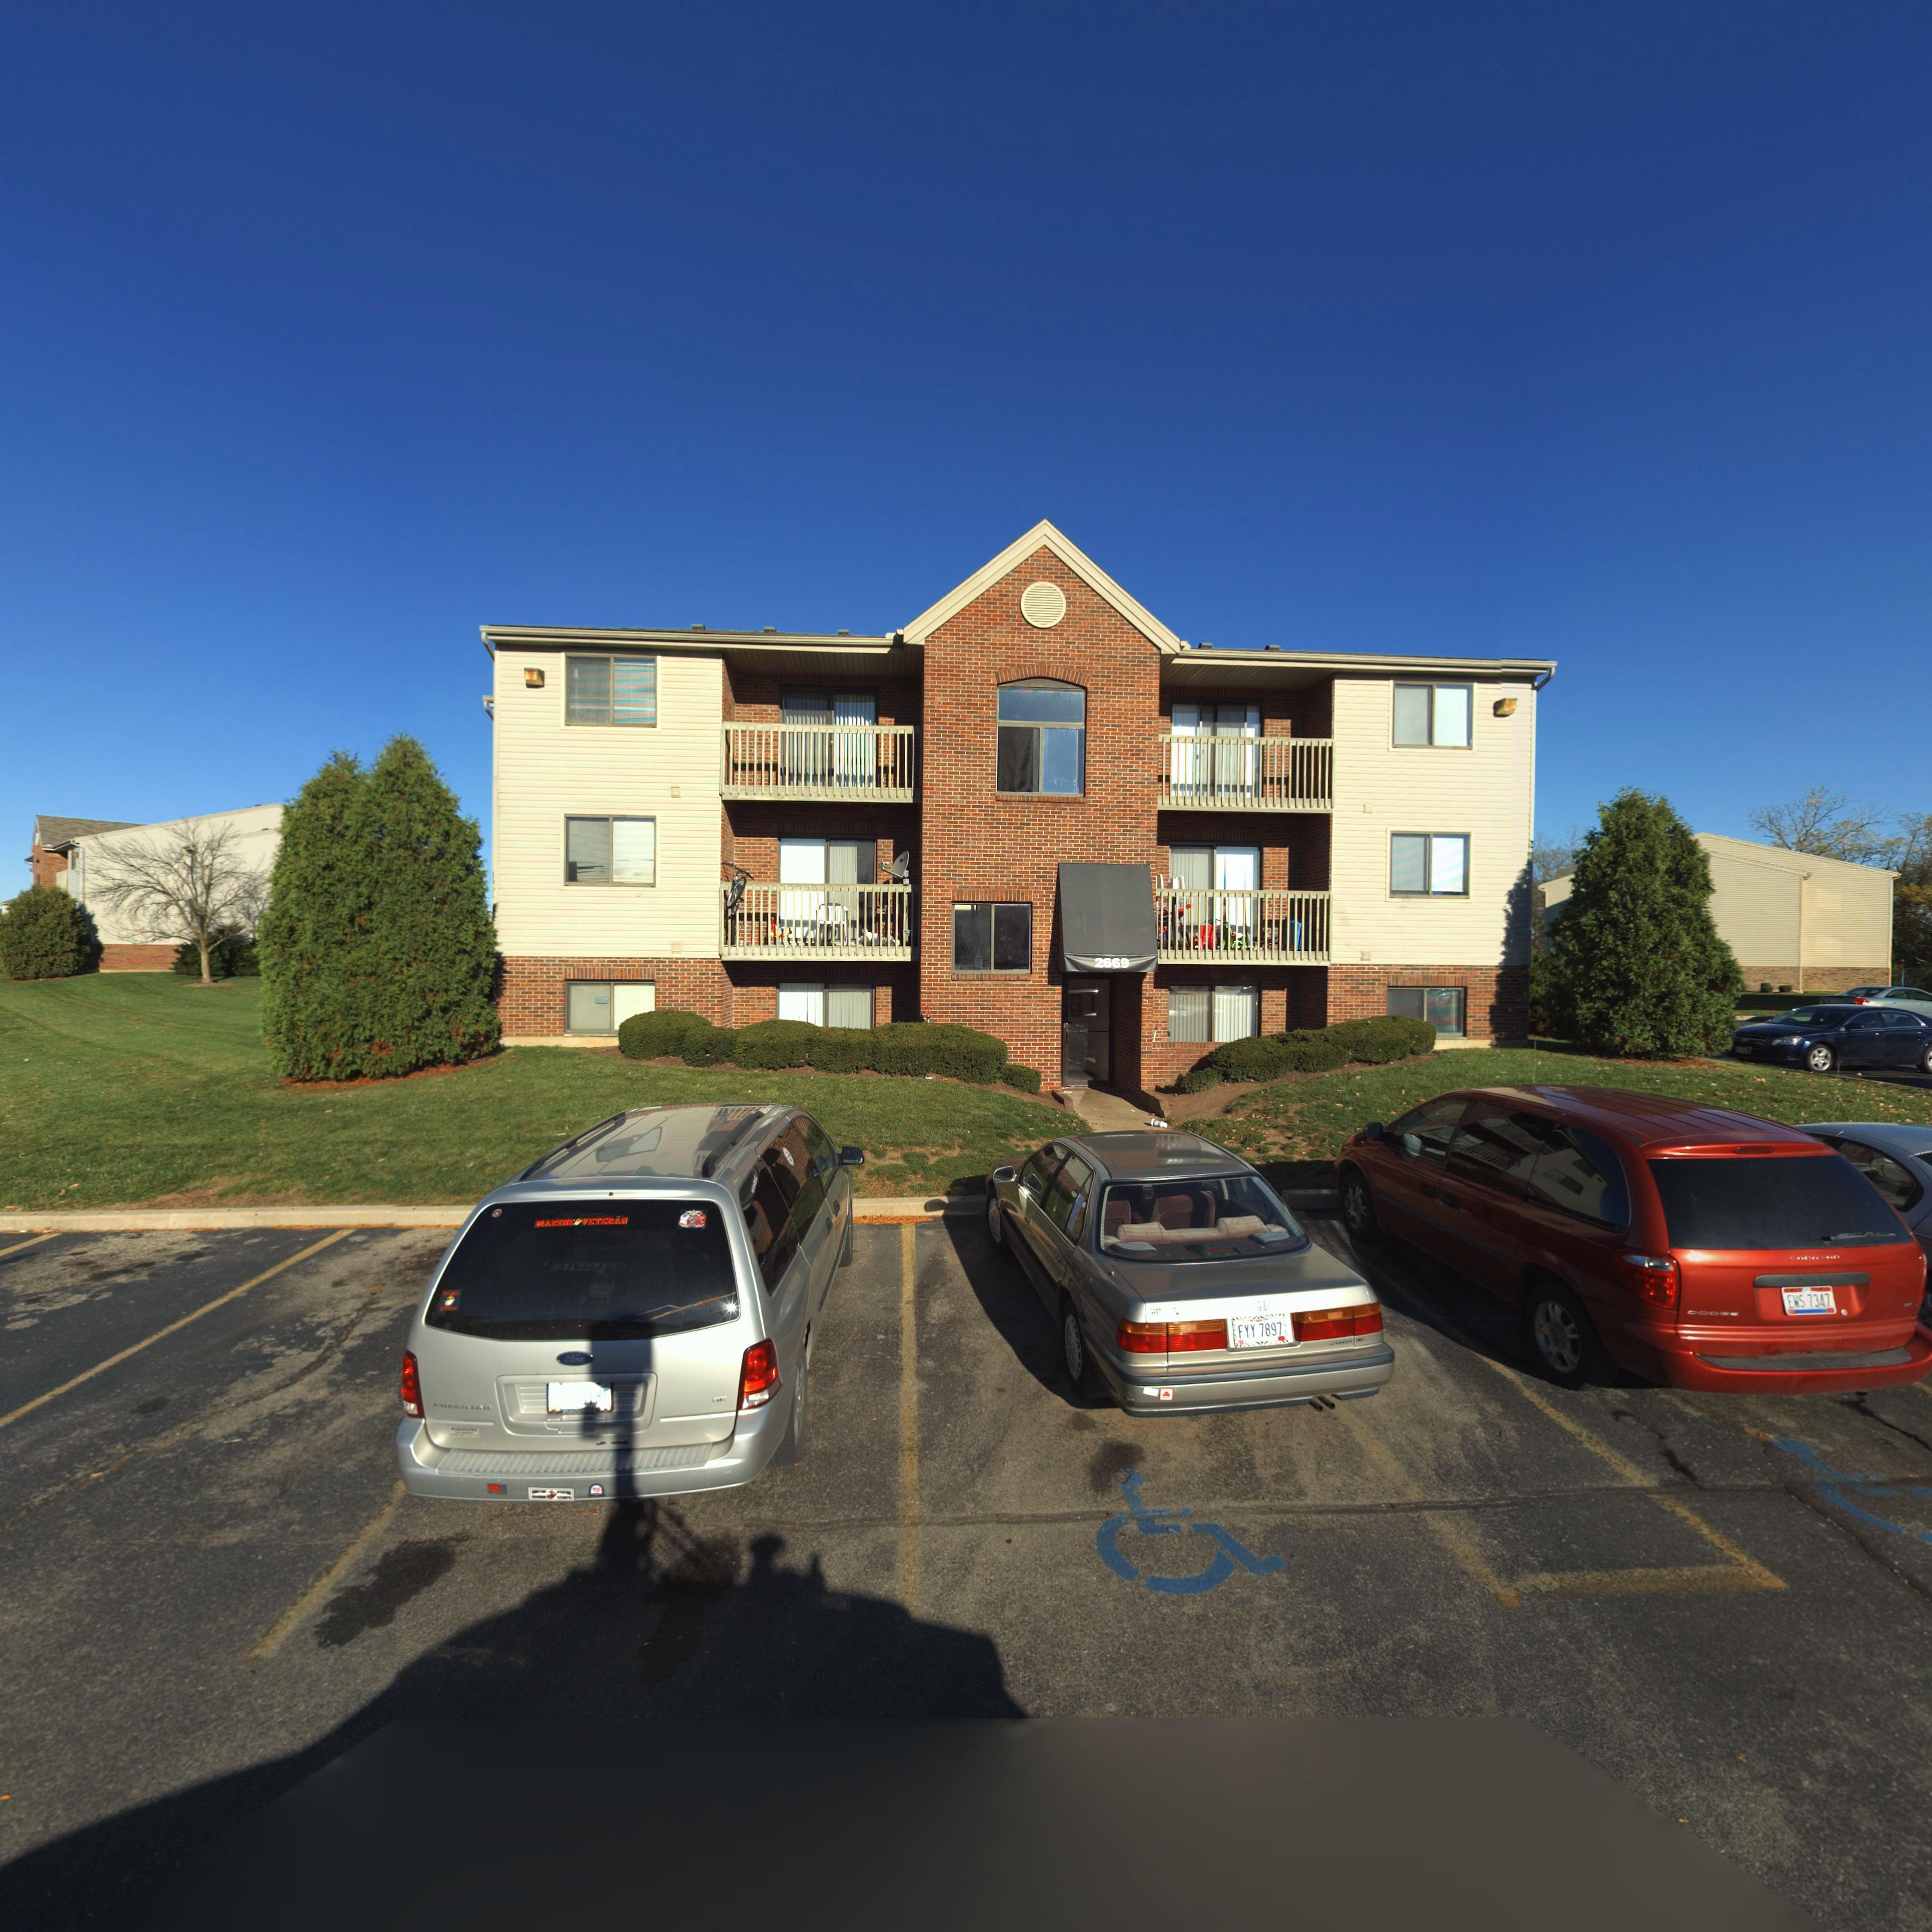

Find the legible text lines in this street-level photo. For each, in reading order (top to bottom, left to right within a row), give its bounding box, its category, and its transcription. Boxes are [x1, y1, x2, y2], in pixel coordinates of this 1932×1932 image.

[1094, 957, 1130, 968] StreetNumber: 2669